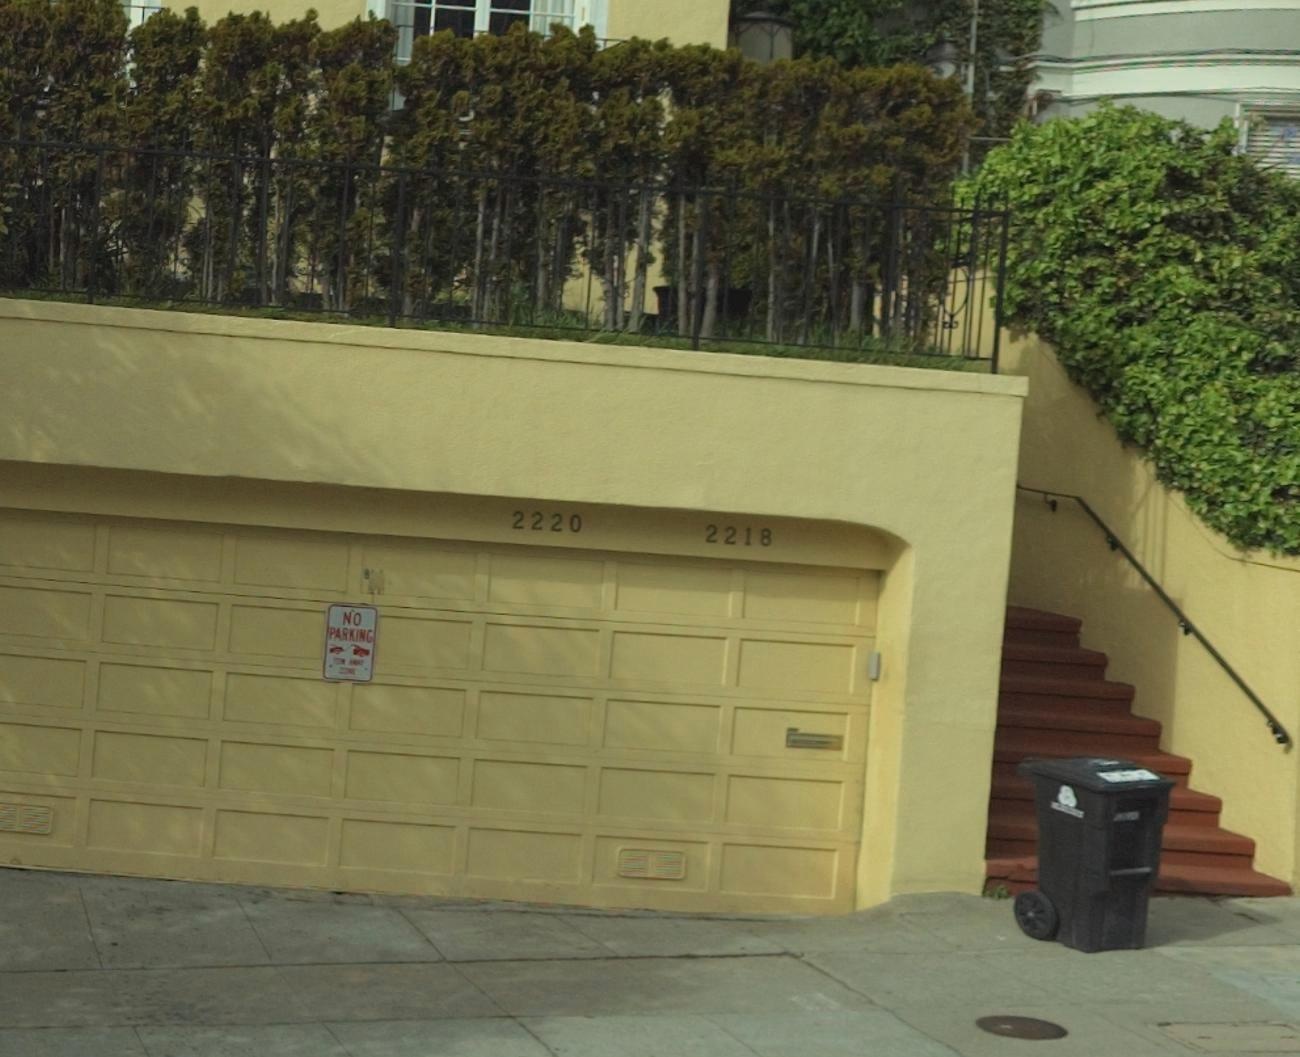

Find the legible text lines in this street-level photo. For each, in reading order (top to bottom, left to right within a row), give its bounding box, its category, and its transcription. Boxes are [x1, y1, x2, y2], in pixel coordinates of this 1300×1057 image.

[509, 507, 585, 536] StreetNumber: 2220
[702, 521, 775, 550] StreetNumber: 2218
[341, 608, 364, 628] None: NO
[326, 623, 376, 646] None: PARKING